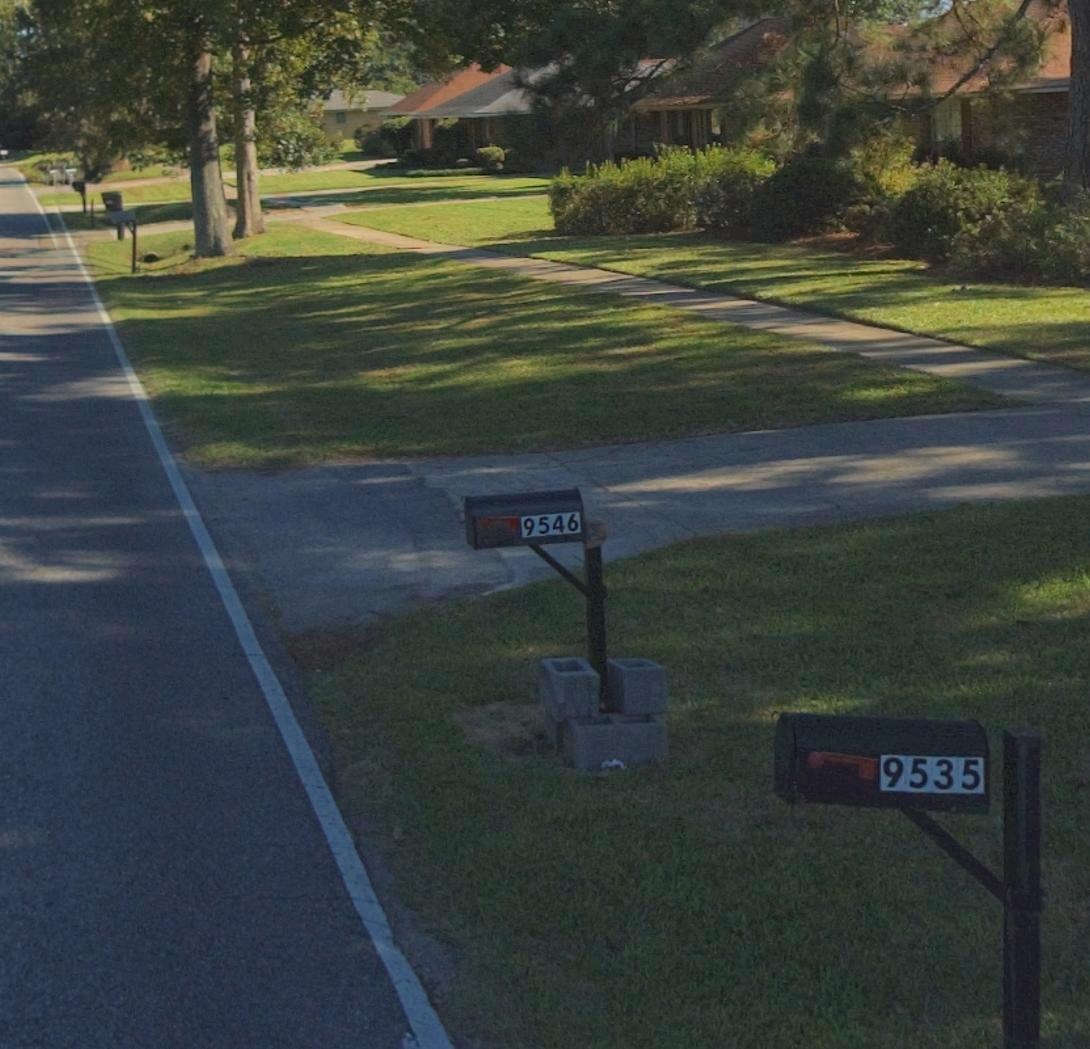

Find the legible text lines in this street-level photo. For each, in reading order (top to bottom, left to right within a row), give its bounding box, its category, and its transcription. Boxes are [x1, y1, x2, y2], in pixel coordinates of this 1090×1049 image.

[523, 513, 579, 536] StreetNumber: 9546
[882, 756, 982, 791] StreetNumber: 9535